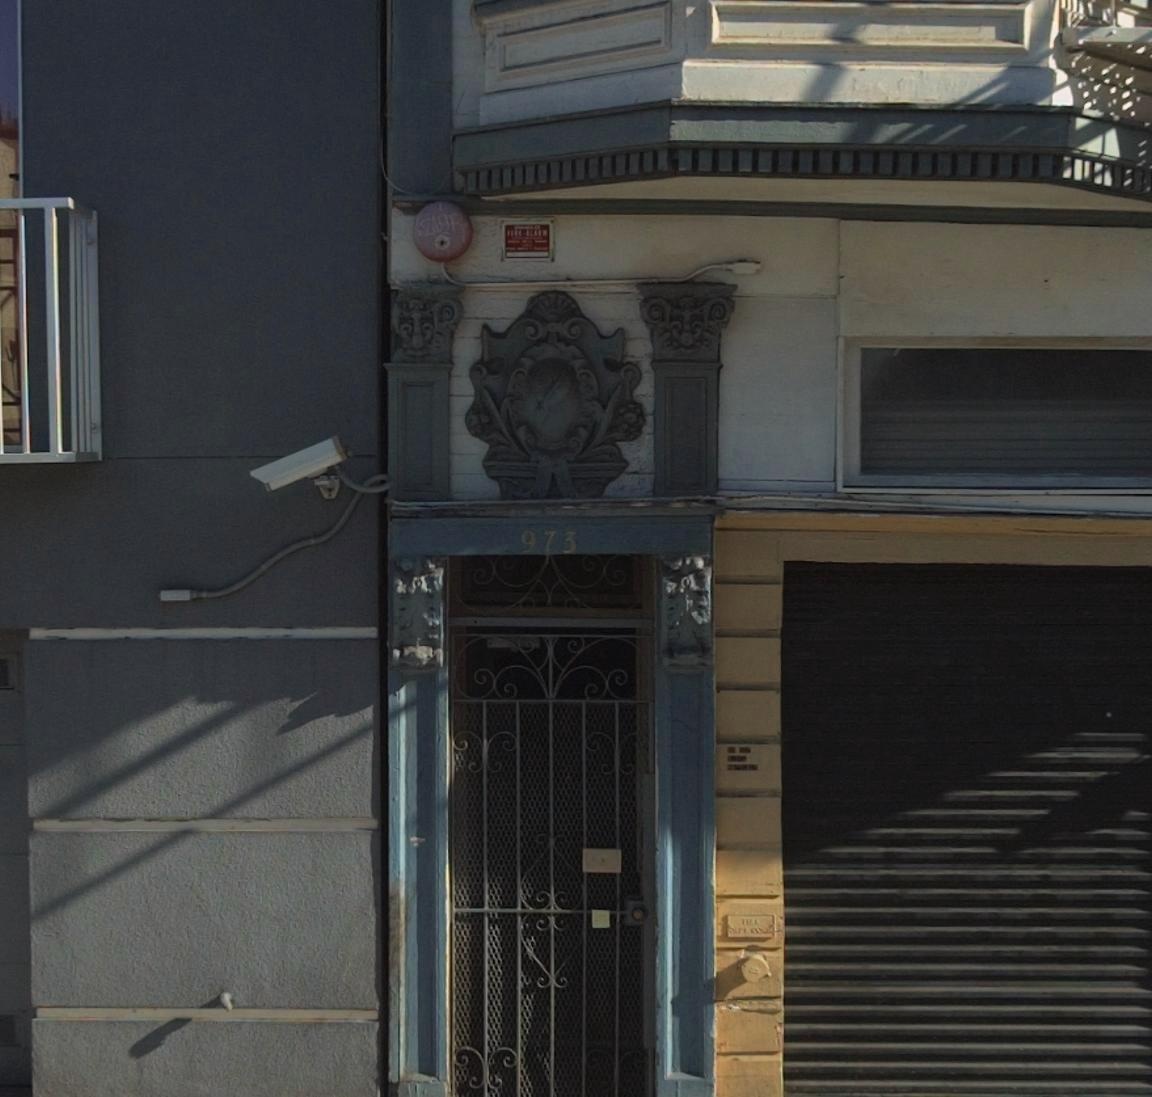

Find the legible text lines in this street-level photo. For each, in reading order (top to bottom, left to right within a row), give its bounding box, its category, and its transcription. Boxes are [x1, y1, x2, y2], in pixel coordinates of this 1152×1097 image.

[519, 529, 579, 555] StreetNumber: 973